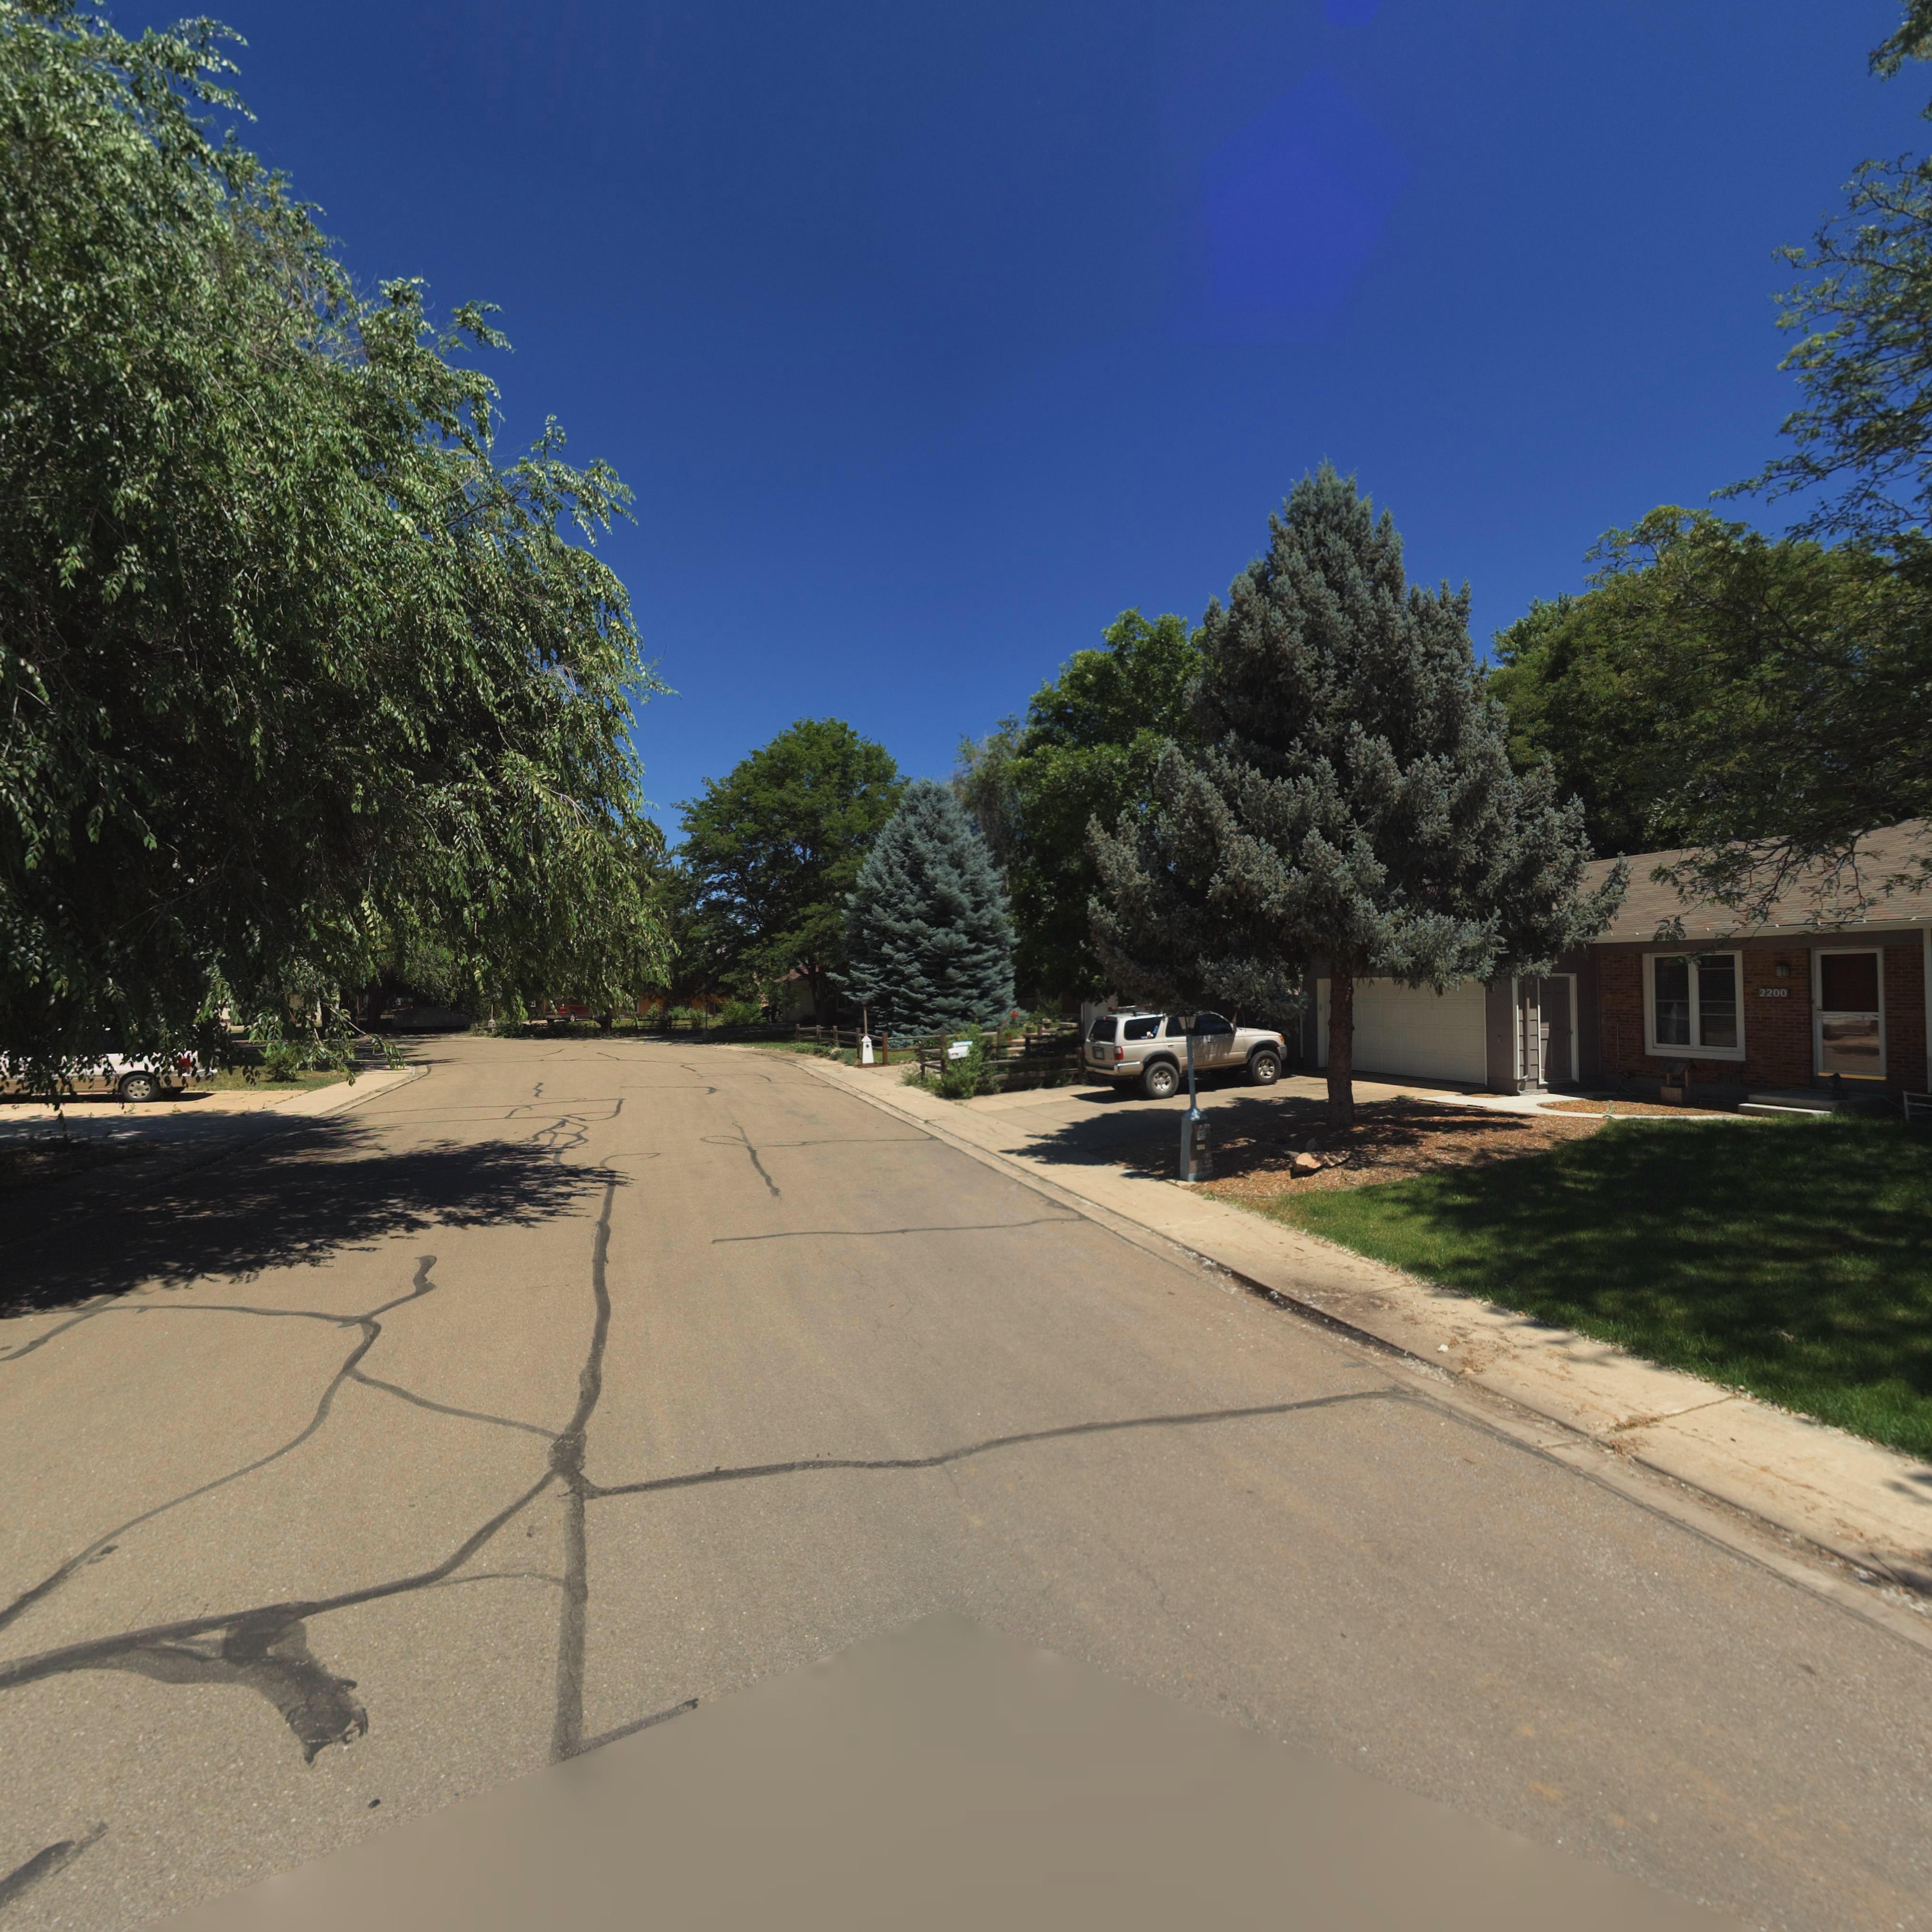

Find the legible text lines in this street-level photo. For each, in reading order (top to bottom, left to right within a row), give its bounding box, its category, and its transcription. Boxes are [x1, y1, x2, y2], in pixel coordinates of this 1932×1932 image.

[1759, 988, 1786, 996] StreetNumber: 2200